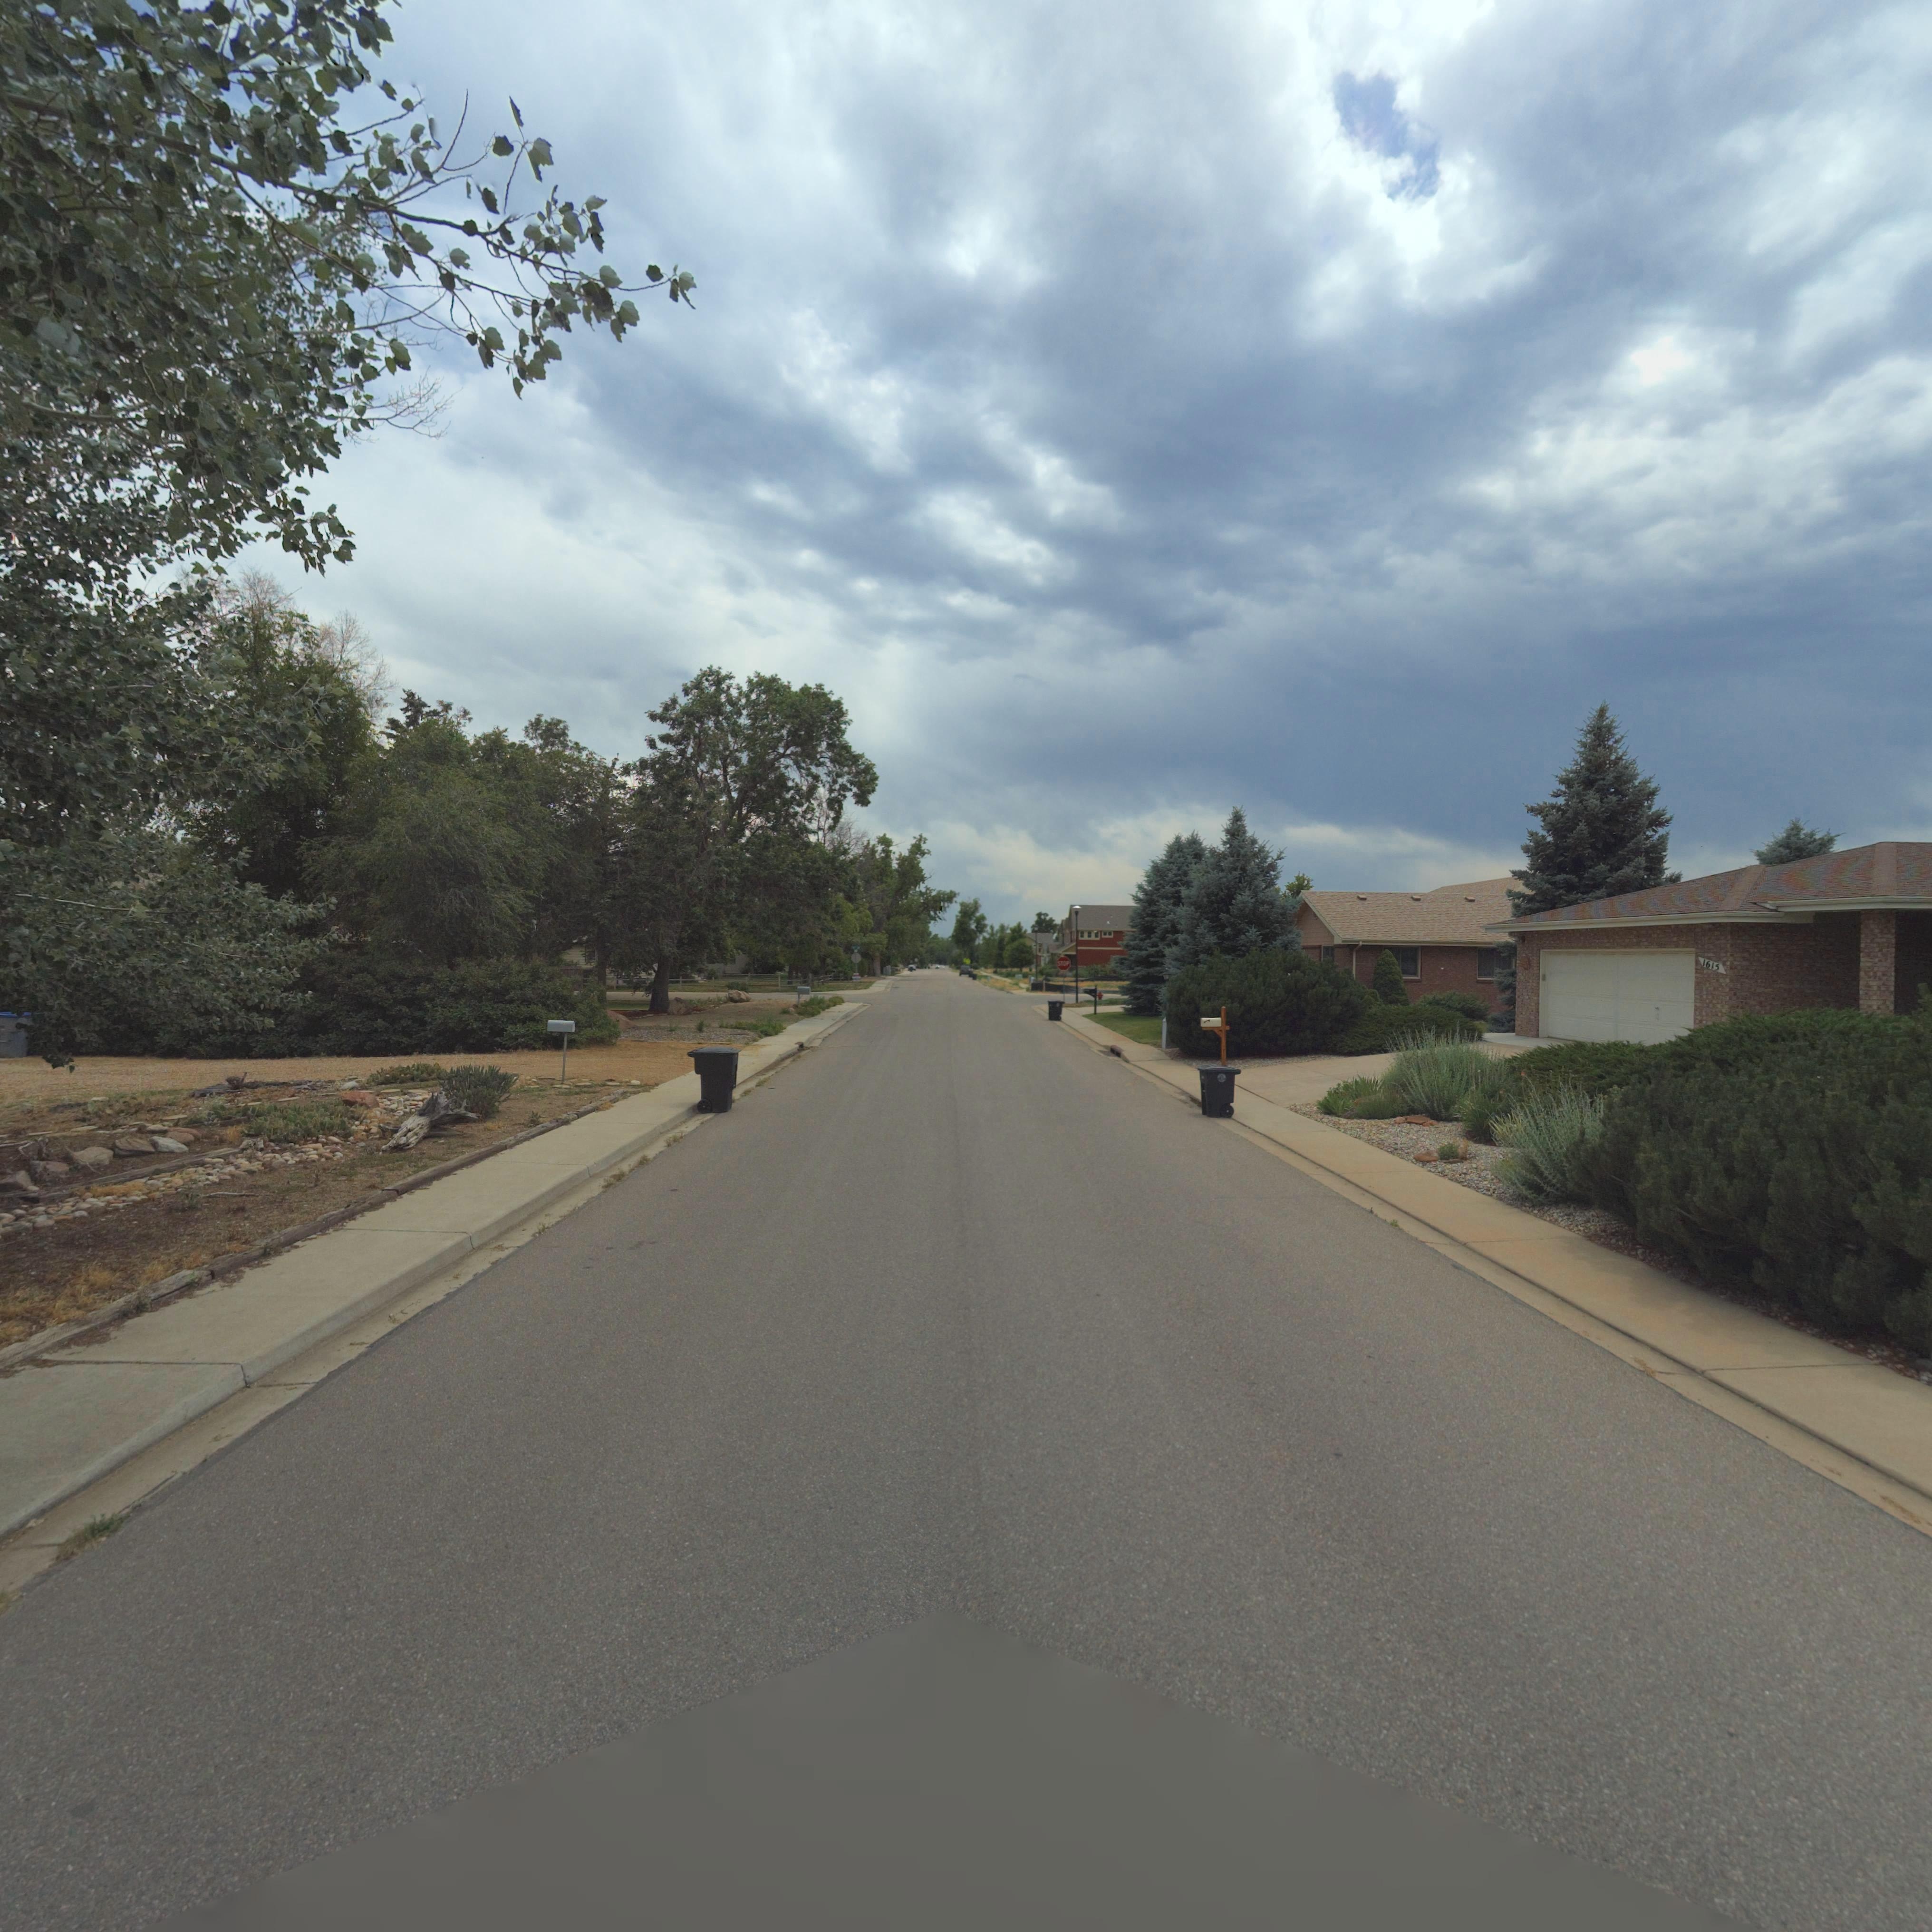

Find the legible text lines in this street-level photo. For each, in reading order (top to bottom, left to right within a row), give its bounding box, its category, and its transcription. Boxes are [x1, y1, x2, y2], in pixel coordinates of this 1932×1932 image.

[1702, 958, 1720, 972] StreetNumber: 1615